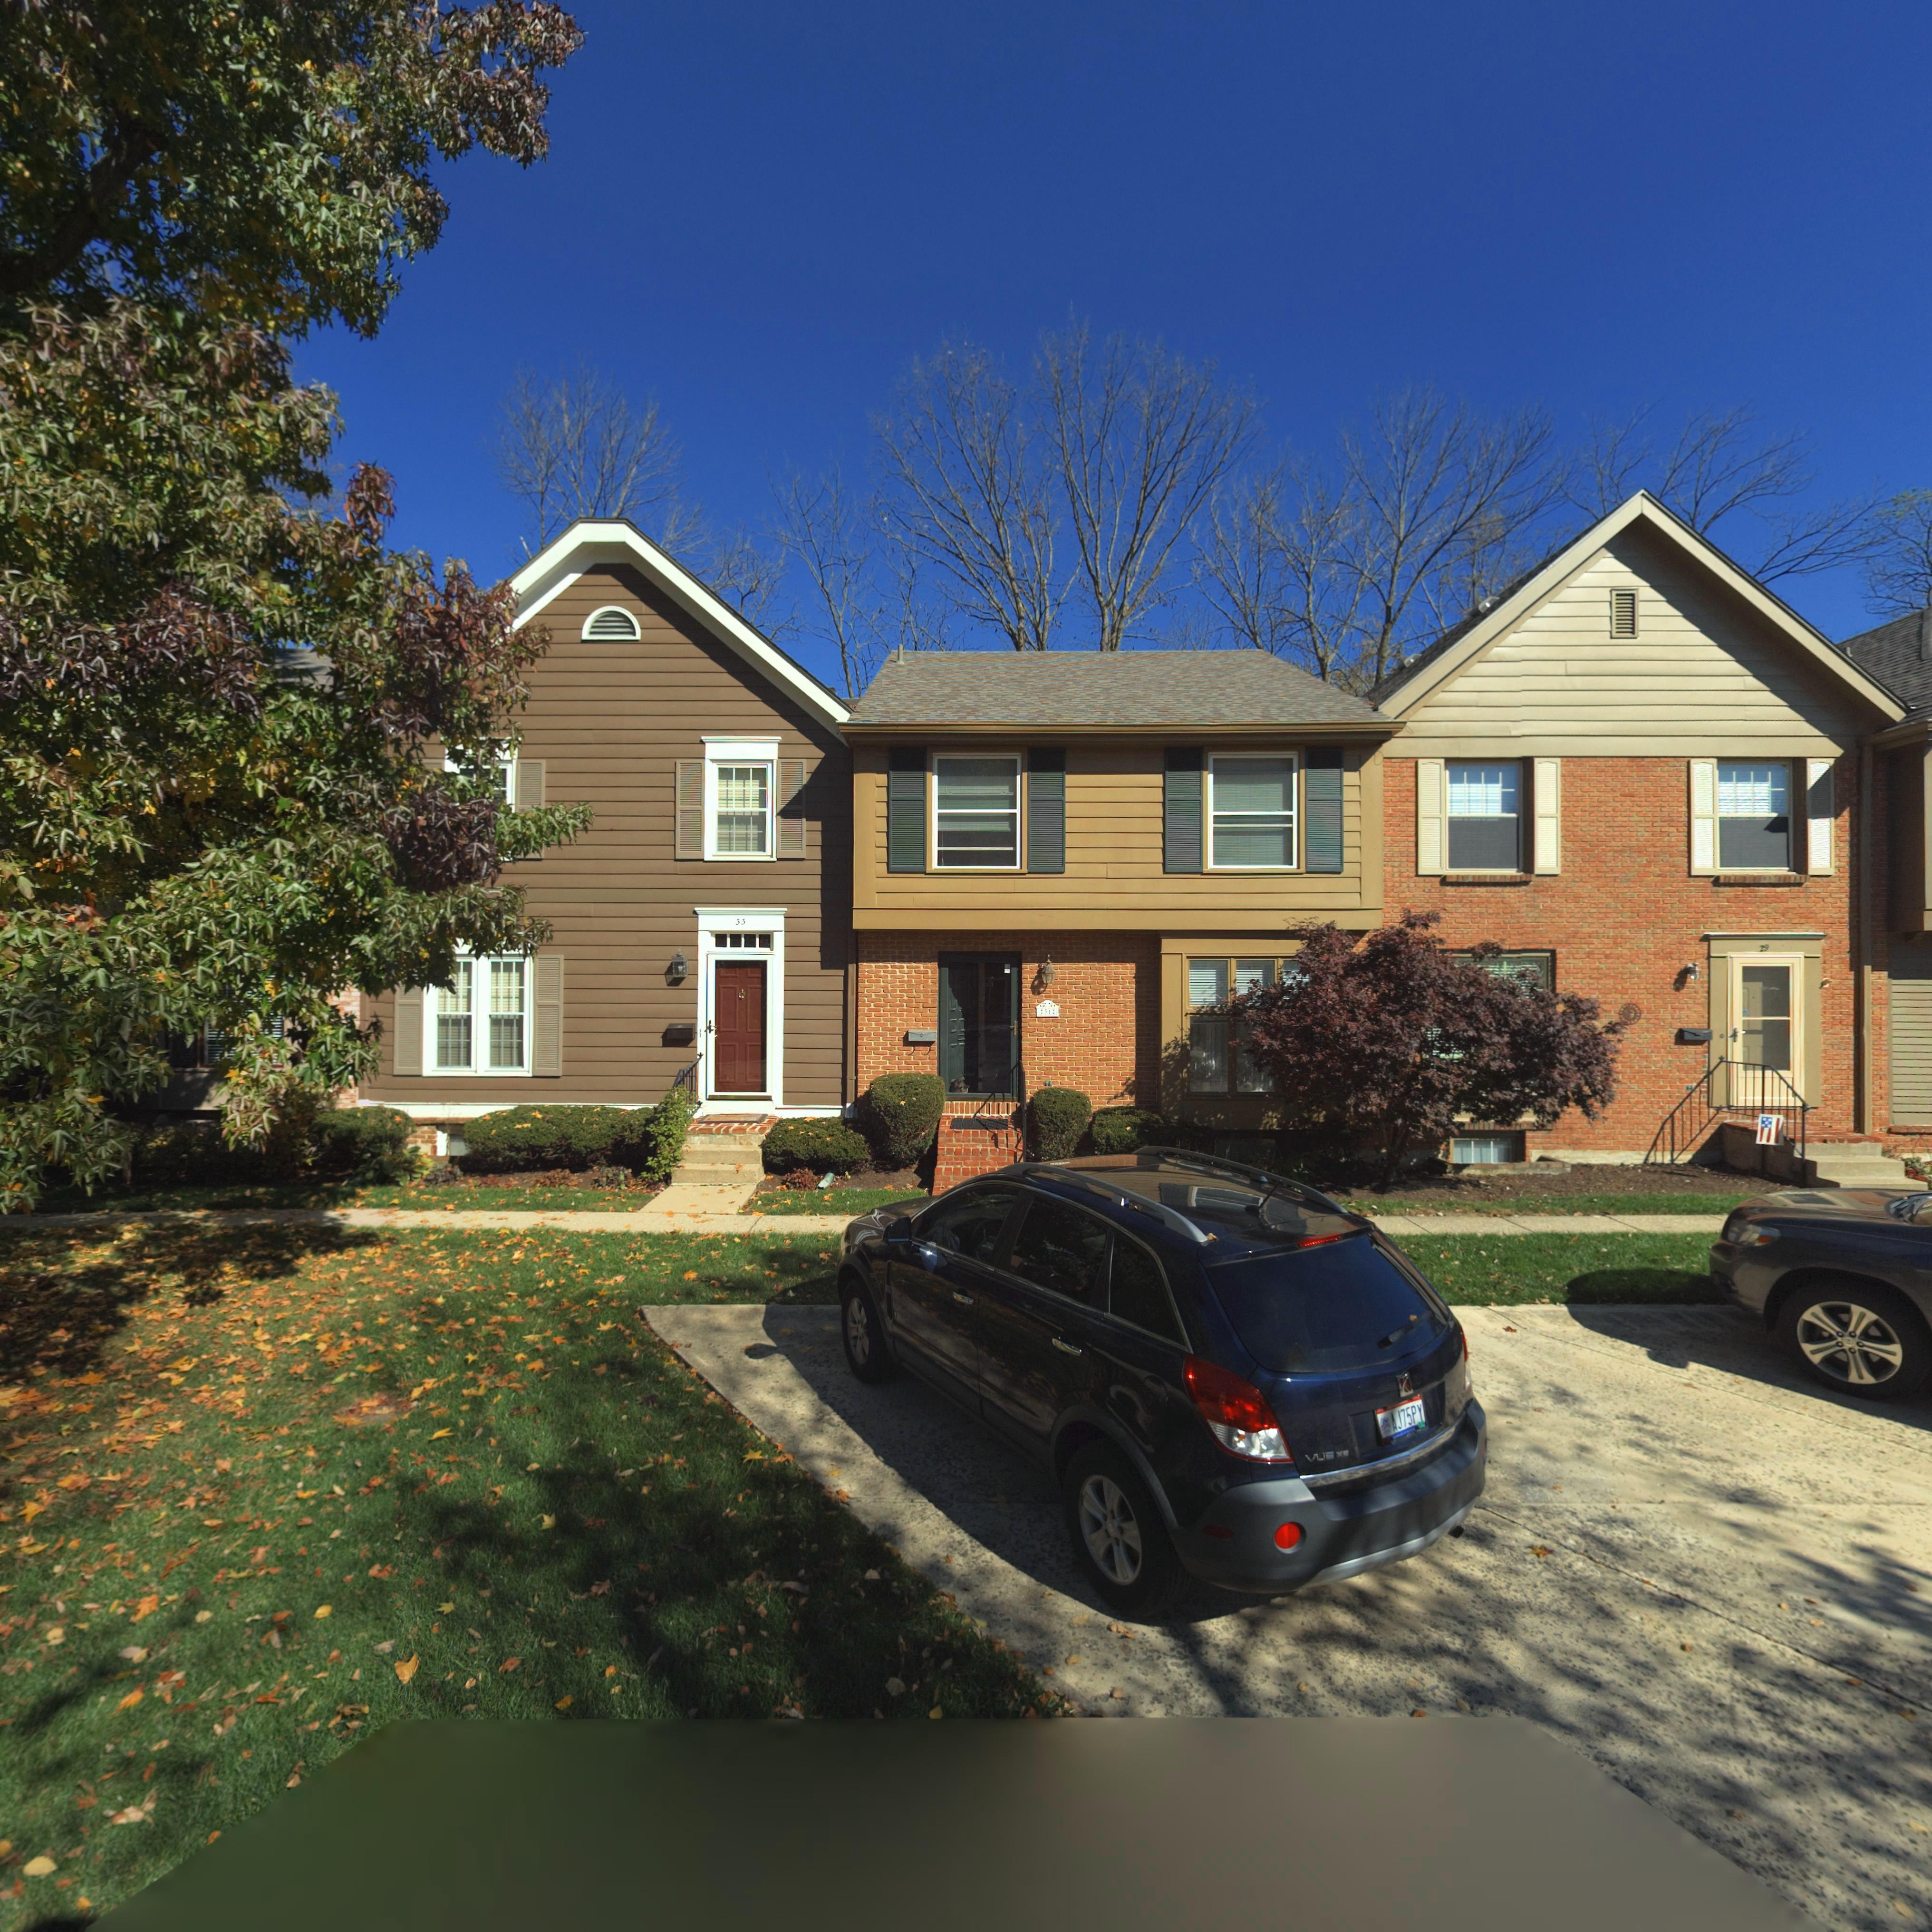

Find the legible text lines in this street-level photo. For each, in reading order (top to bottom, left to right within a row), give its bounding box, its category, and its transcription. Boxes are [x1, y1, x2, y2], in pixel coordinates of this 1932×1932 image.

[735, 918, 746, 926] StreetNumber: 33
[1758, 944, 1770, 952] StreetNumber: 29
[1043, 1009, 1051, 1015] StreetNumber: 31
[1390, 1402, 1424, 1433] None: AJ75PY
[1304, 1450, 1334, 1464] None: VUE
[1335, 1449, 1350, 1459] None: X*